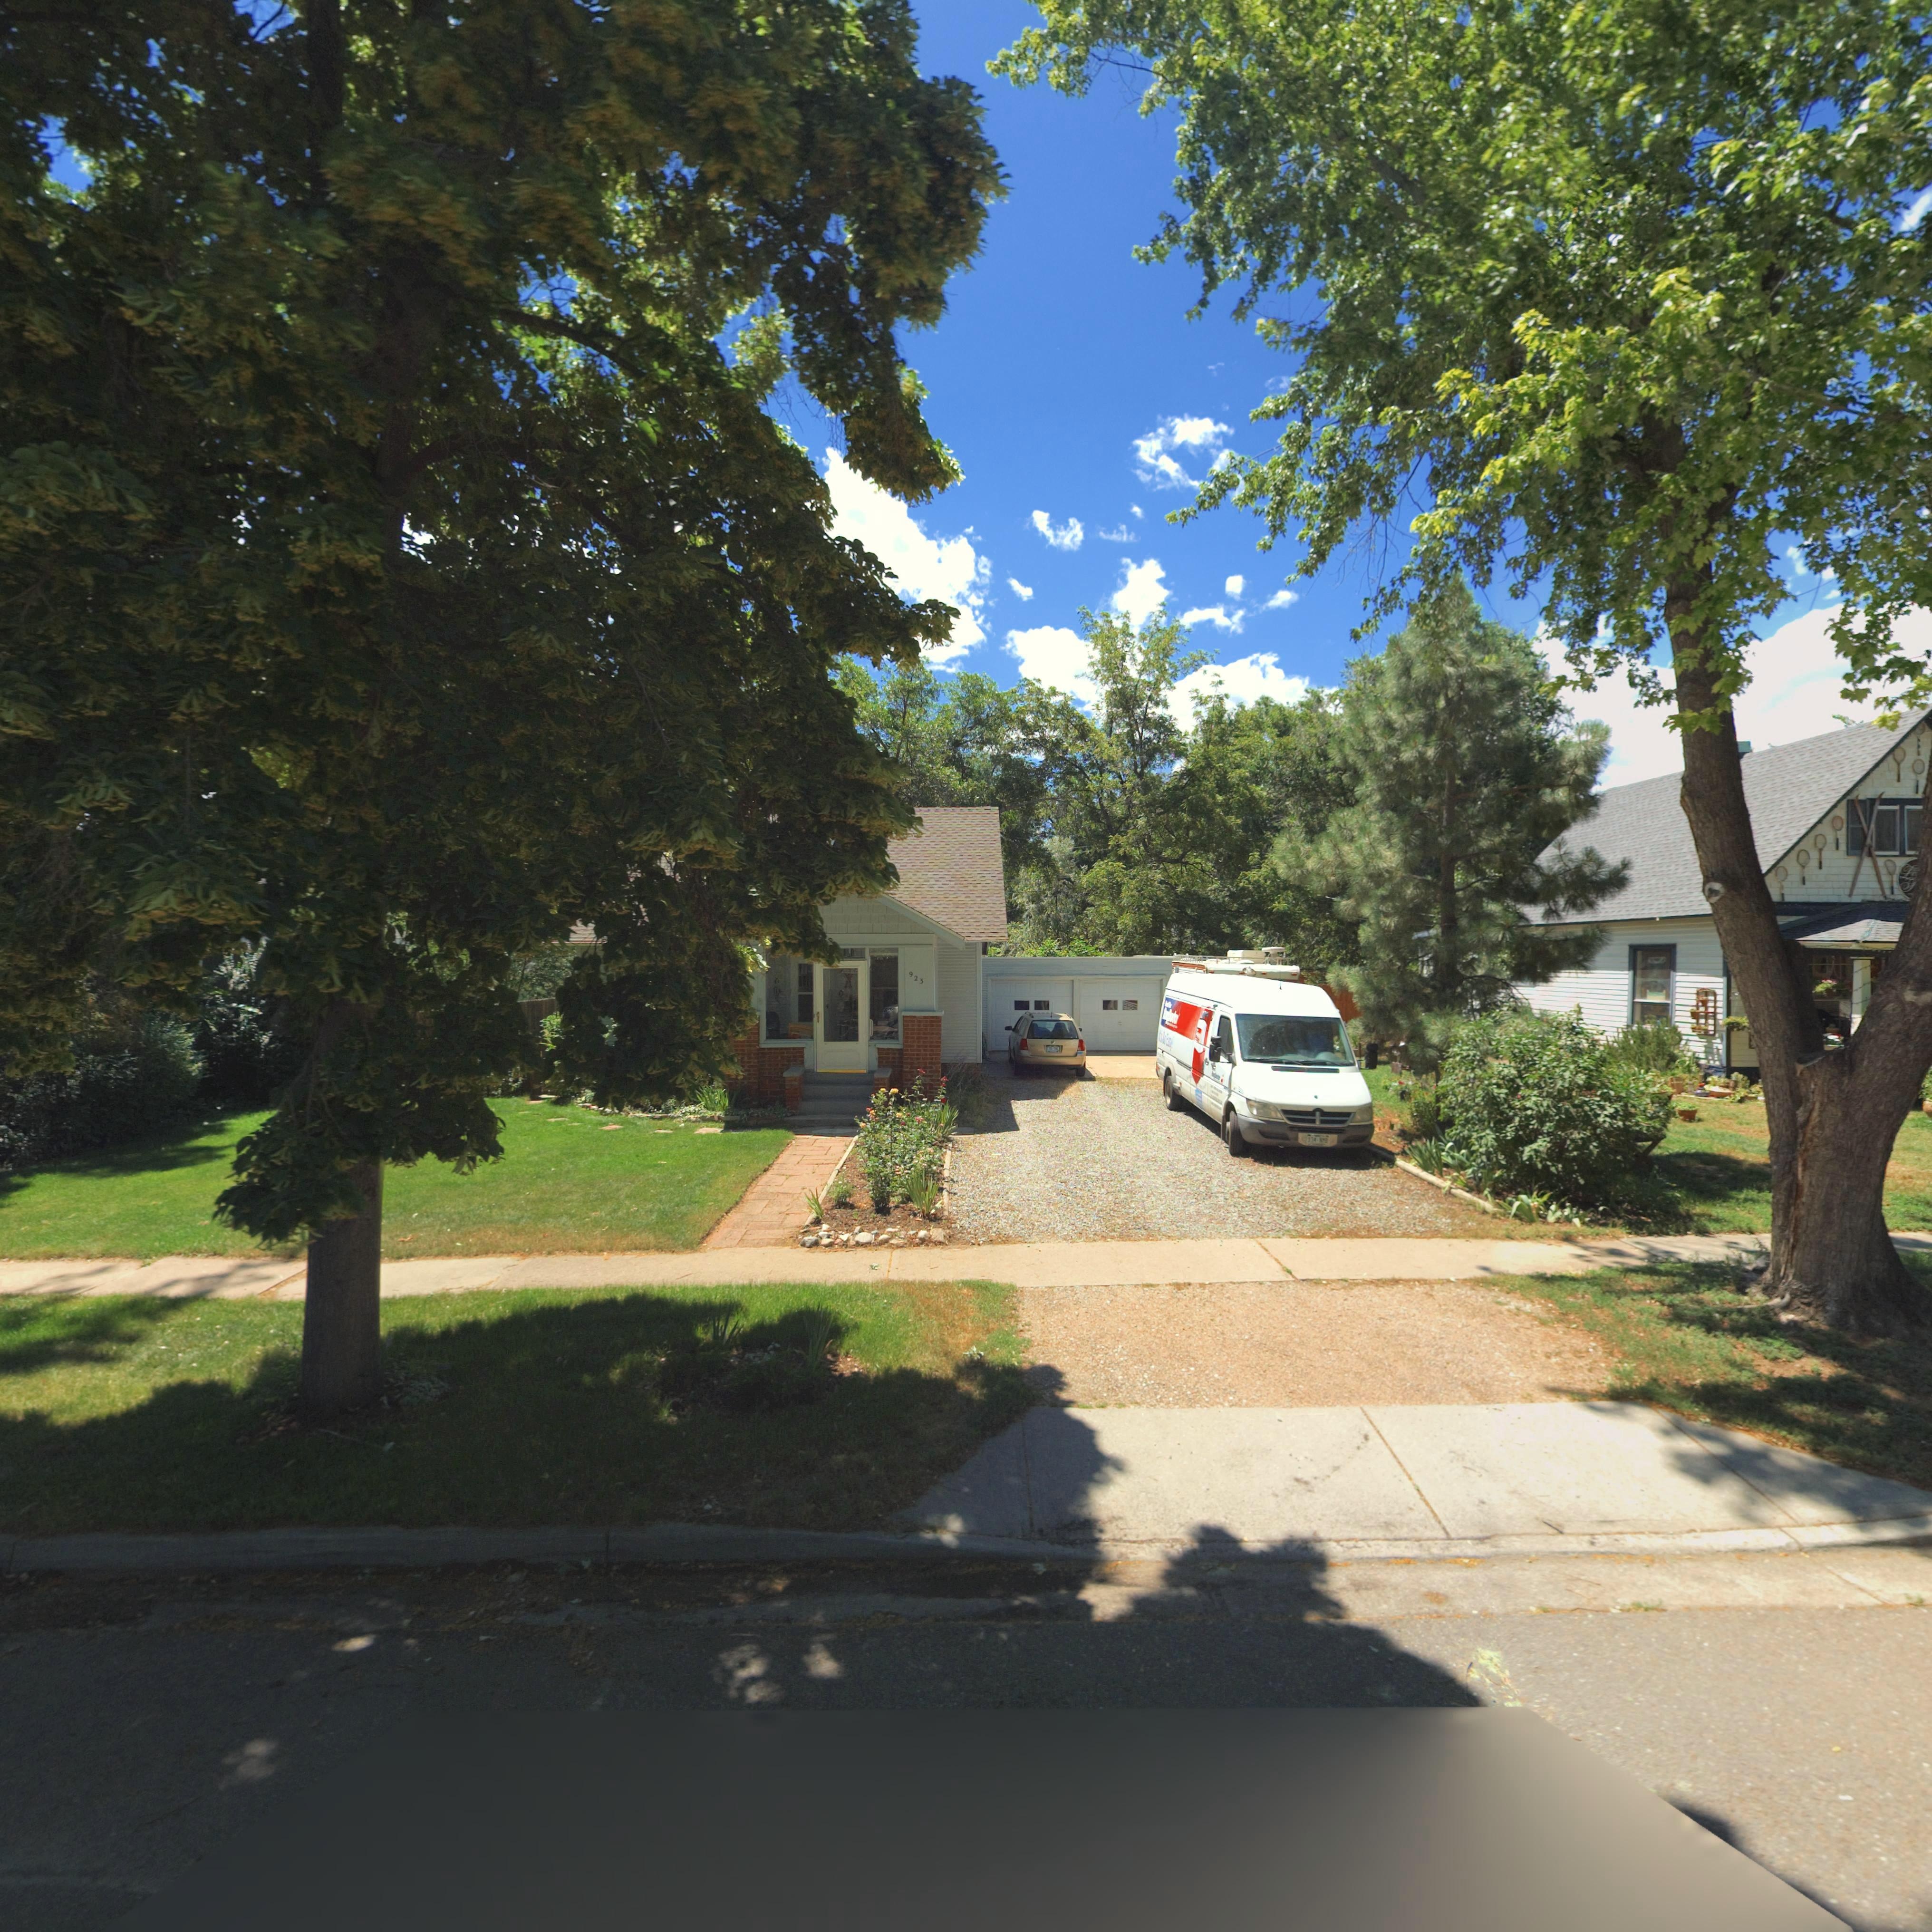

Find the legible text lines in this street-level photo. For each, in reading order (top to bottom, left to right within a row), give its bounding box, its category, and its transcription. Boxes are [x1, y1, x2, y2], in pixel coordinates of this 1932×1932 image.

[909, 971, 924, 984] StreetNumber: 923